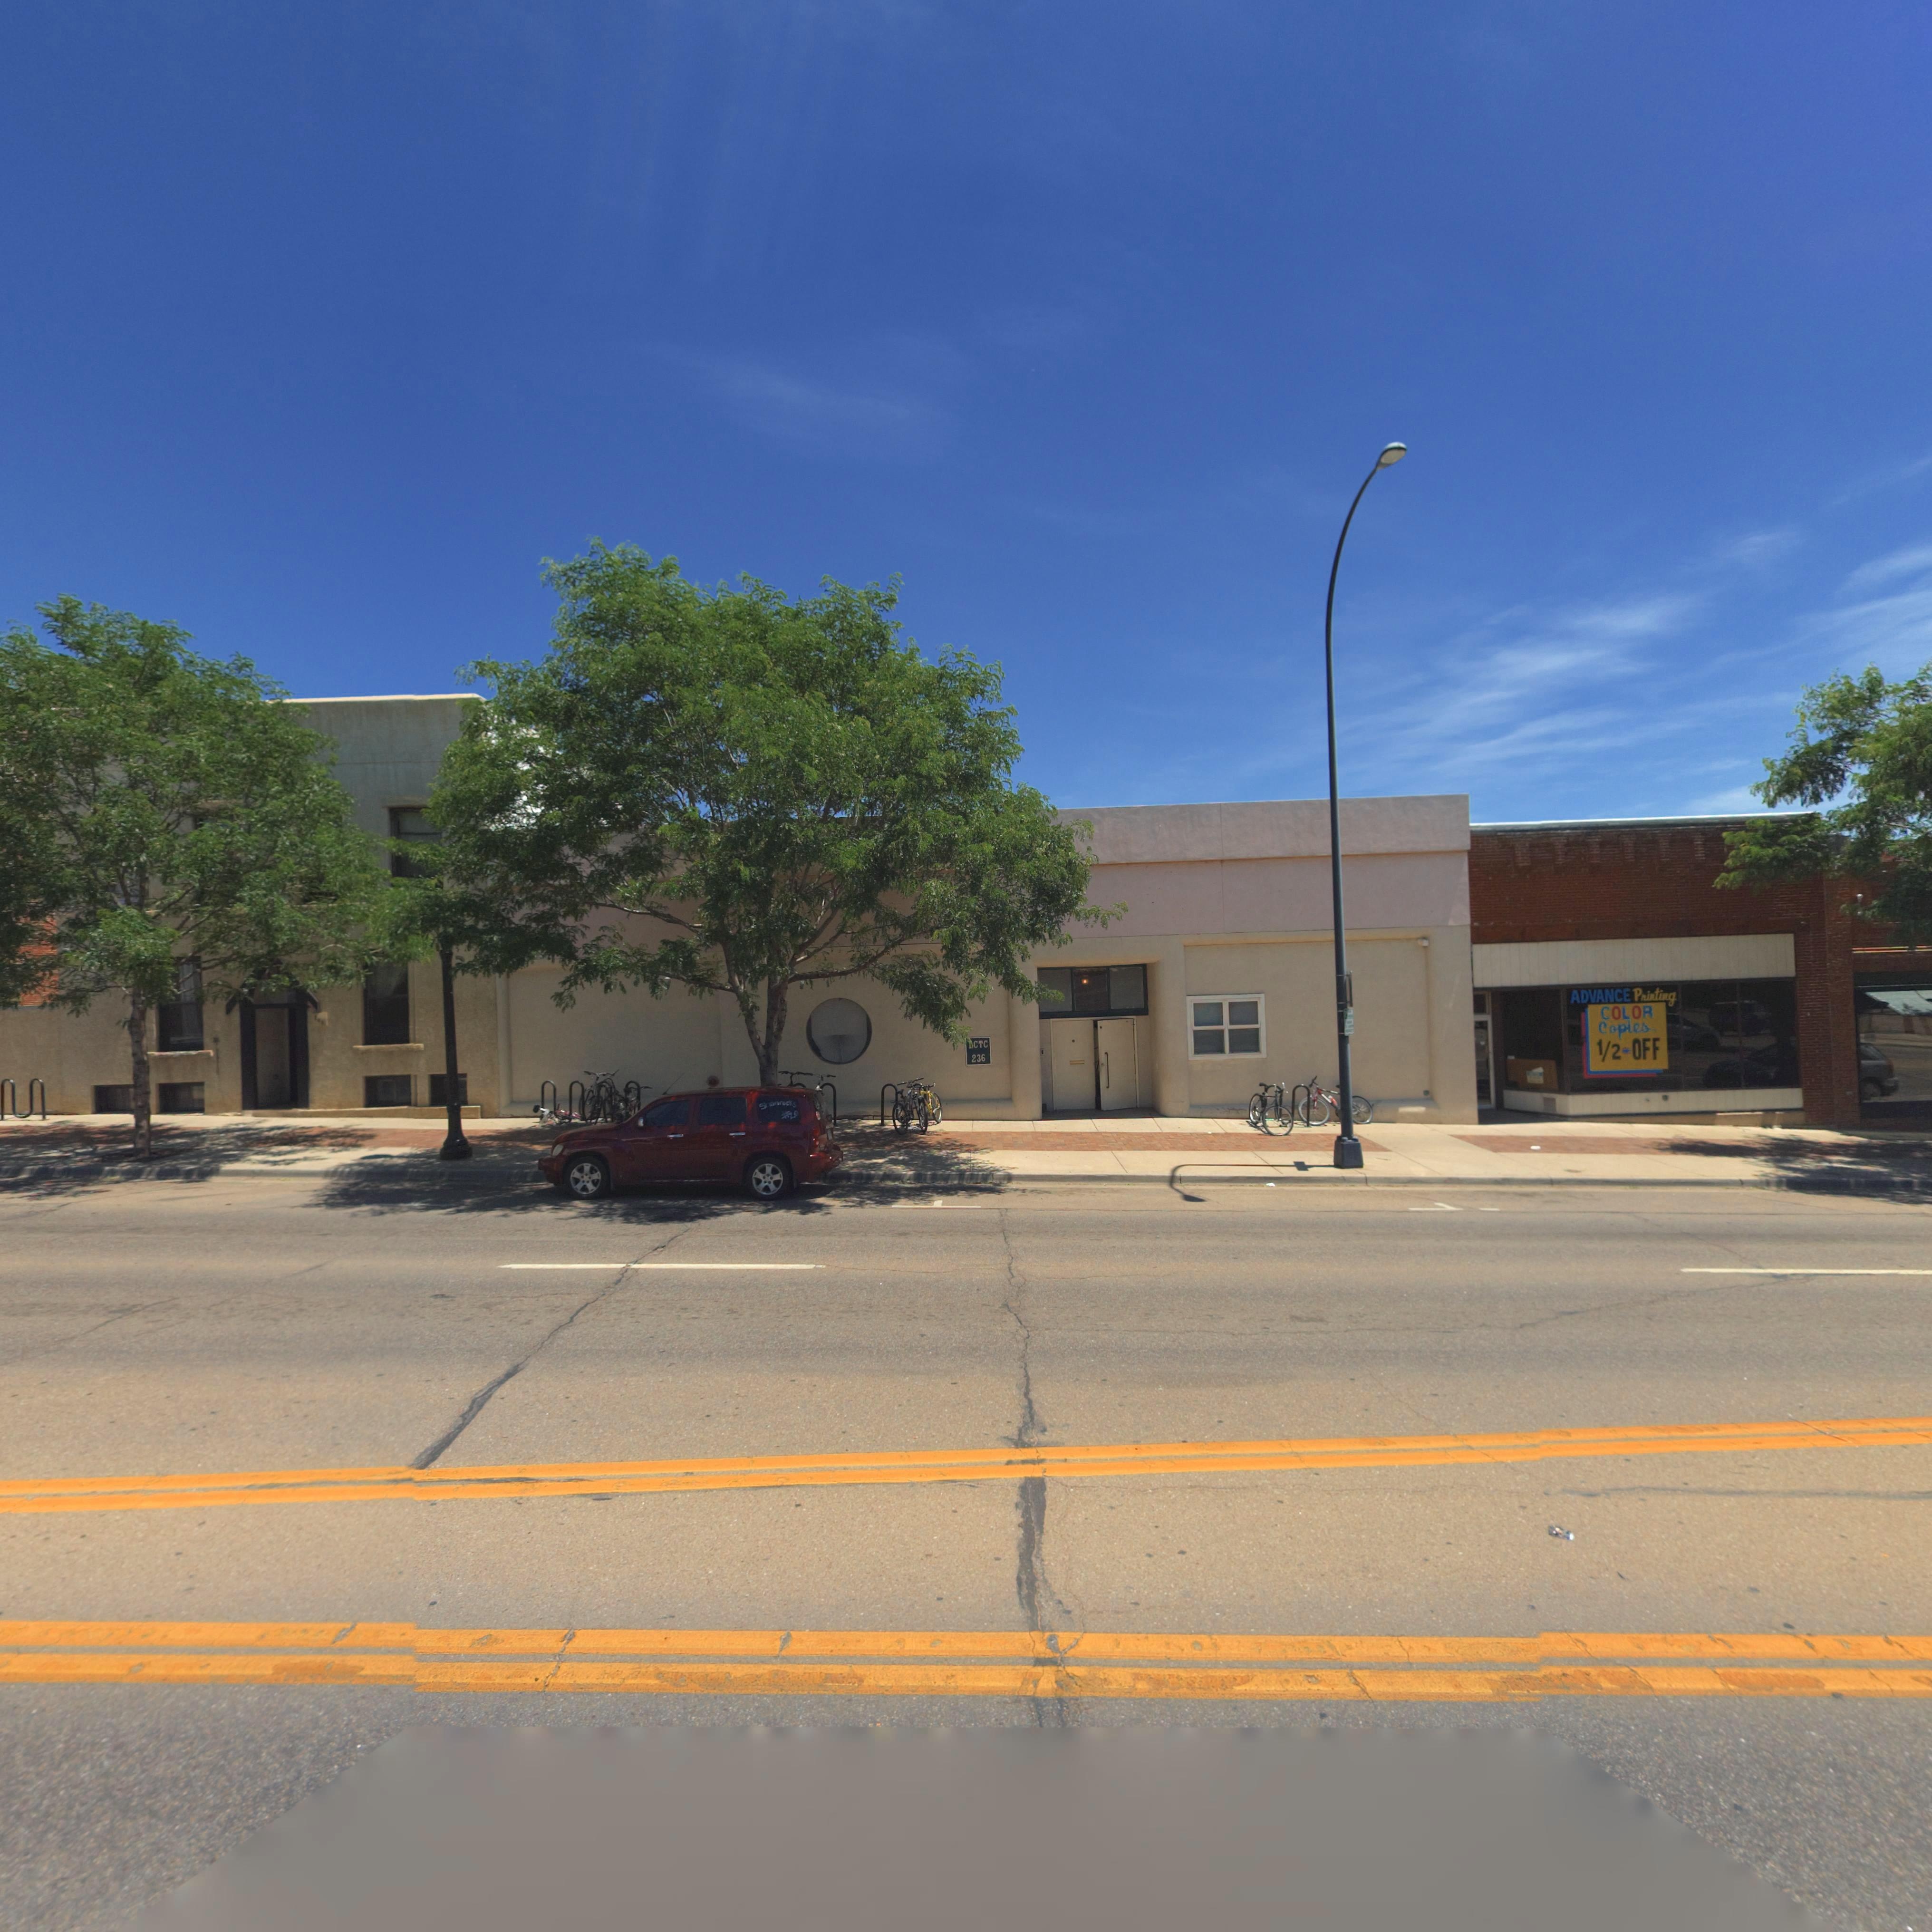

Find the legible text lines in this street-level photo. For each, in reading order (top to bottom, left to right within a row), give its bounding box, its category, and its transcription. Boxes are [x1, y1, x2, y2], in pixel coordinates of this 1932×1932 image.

[1571, 988, 1631, 1003] BusinessName: ADVANCE
[1632, 986, 1677, 1008] BusinessName: Printing
[970, 1053, 986, 1063] StreetNumber: 236